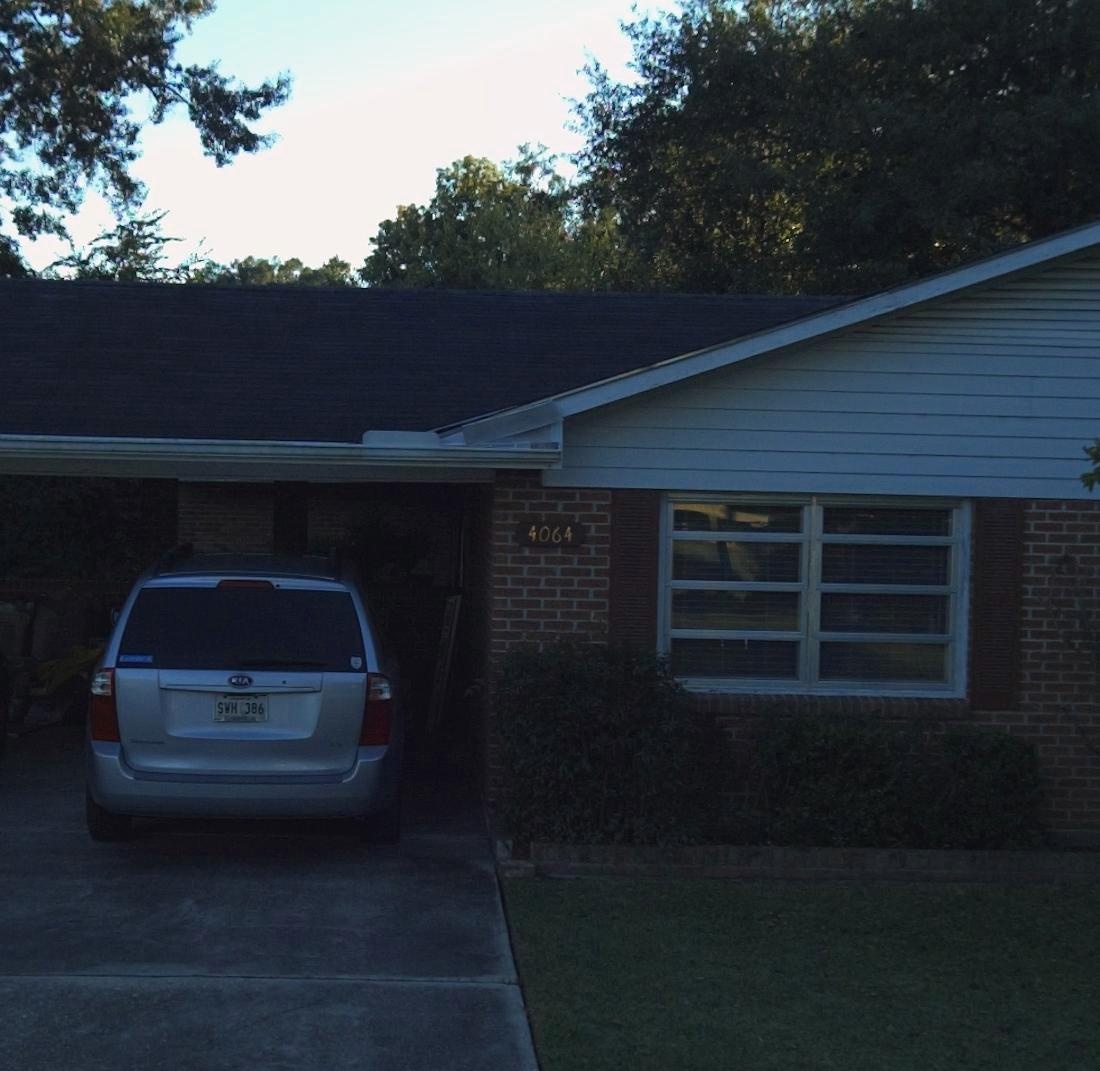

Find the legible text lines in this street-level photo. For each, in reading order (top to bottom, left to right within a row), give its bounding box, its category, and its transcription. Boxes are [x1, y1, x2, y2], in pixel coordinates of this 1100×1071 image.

[526, 523, 575, 545] StreetNumber: 4064
[230, 675, 250, 686] None: KIA
[216, 700, 266, 716] None: SWH 386